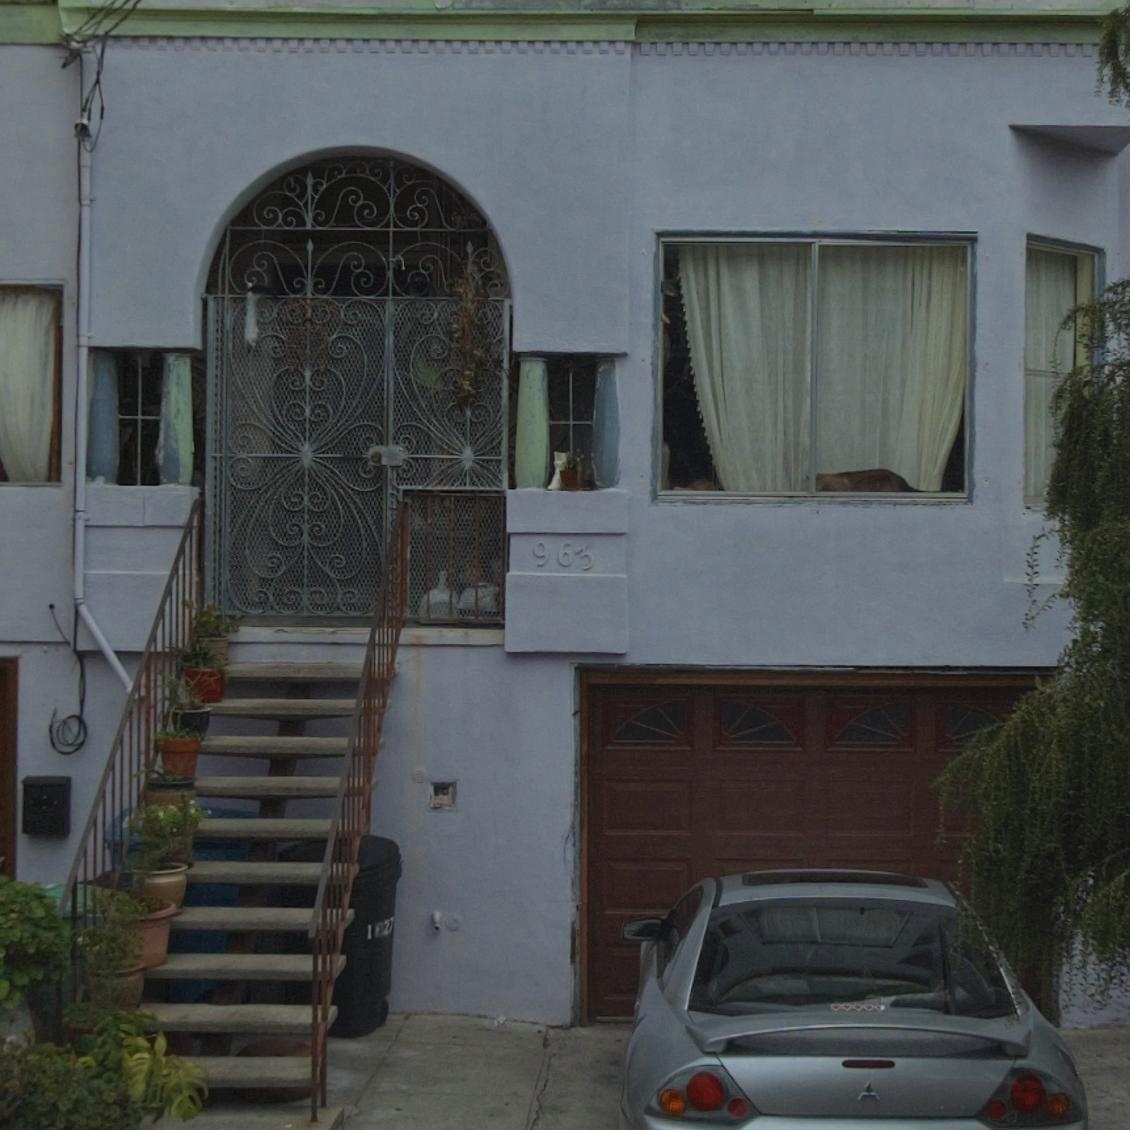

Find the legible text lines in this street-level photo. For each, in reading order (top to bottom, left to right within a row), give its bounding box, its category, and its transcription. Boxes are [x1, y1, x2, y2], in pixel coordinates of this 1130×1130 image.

[531, 539, 596, 571] StreetNumber: 963